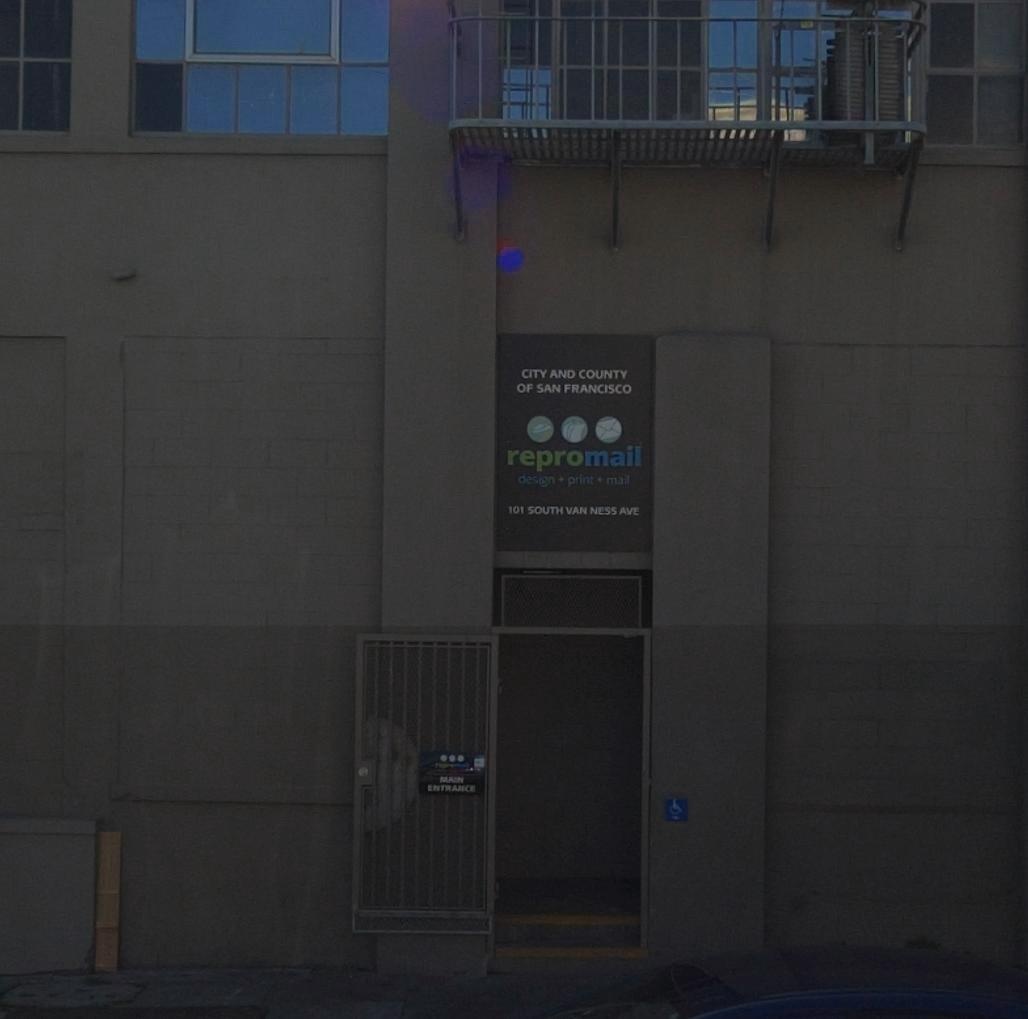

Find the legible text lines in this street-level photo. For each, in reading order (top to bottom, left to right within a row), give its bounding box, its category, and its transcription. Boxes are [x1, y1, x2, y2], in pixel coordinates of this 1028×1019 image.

[517, 365, 630, 383] None: CITY AND COUNTY
[512, 378, 635, 399] None: OF SAN FRANCISCO
[506, 443, 643, 475] BusinessName: repromail
[514, 473, 635, 491] None: design*print*ma*l
[507, 504, 526, 516] StreetNumber: 101
[526, 504, 641, 518] StreetName: SOUTH VANNESS AVE
[437, 774, 466, 785] None: MAIN
[425, 782, 478, 795] None: ENTRANCE